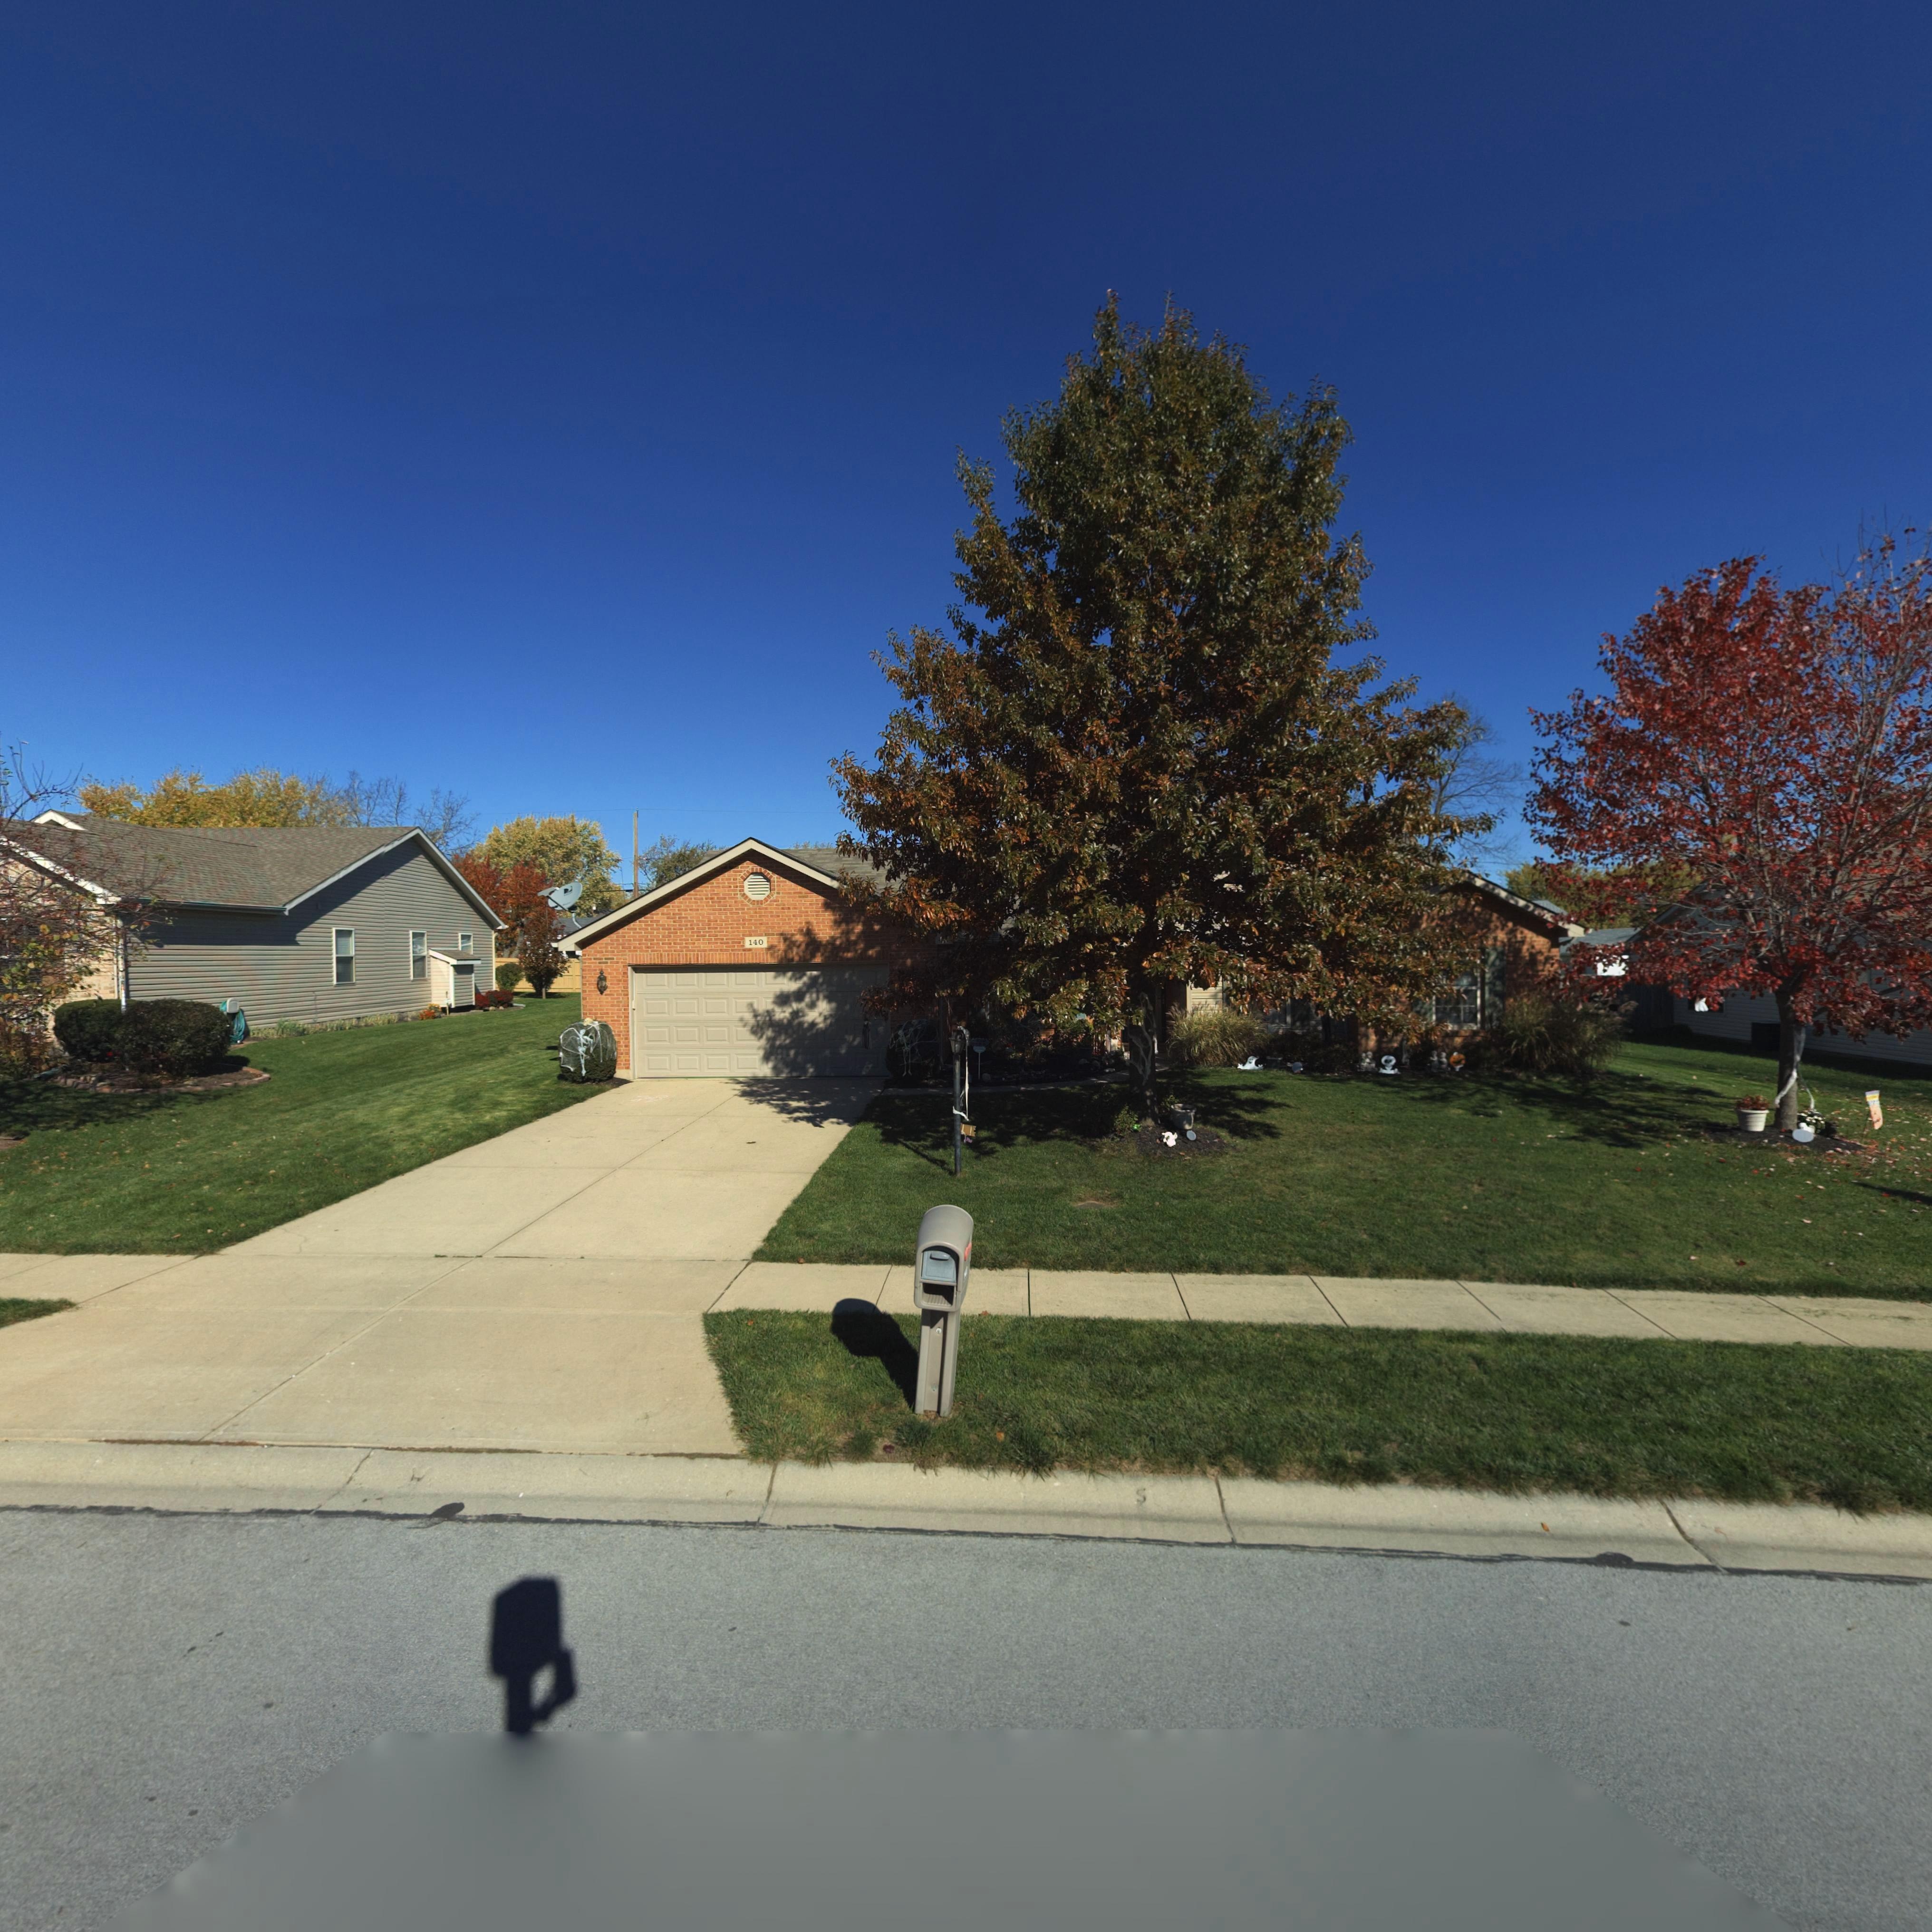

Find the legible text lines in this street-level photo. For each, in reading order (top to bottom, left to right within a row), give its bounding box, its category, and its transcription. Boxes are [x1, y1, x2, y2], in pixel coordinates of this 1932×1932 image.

[748, 938, 763, 946] StreetNumber: 140